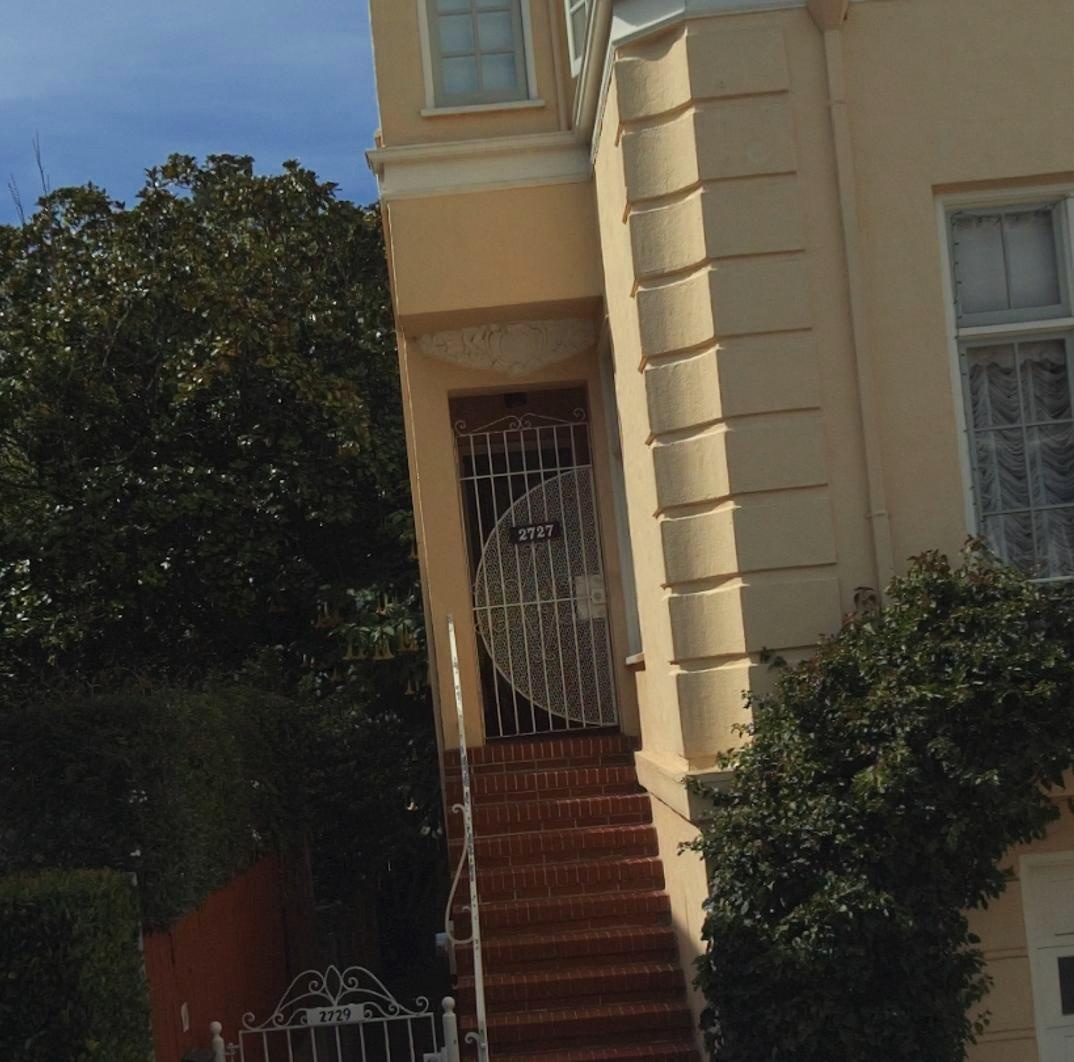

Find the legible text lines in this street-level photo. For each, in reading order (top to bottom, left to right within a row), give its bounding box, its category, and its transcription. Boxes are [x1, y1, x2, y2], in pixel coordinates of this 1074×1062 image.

[517, 521, 558, 544] StreetNumber: 2727